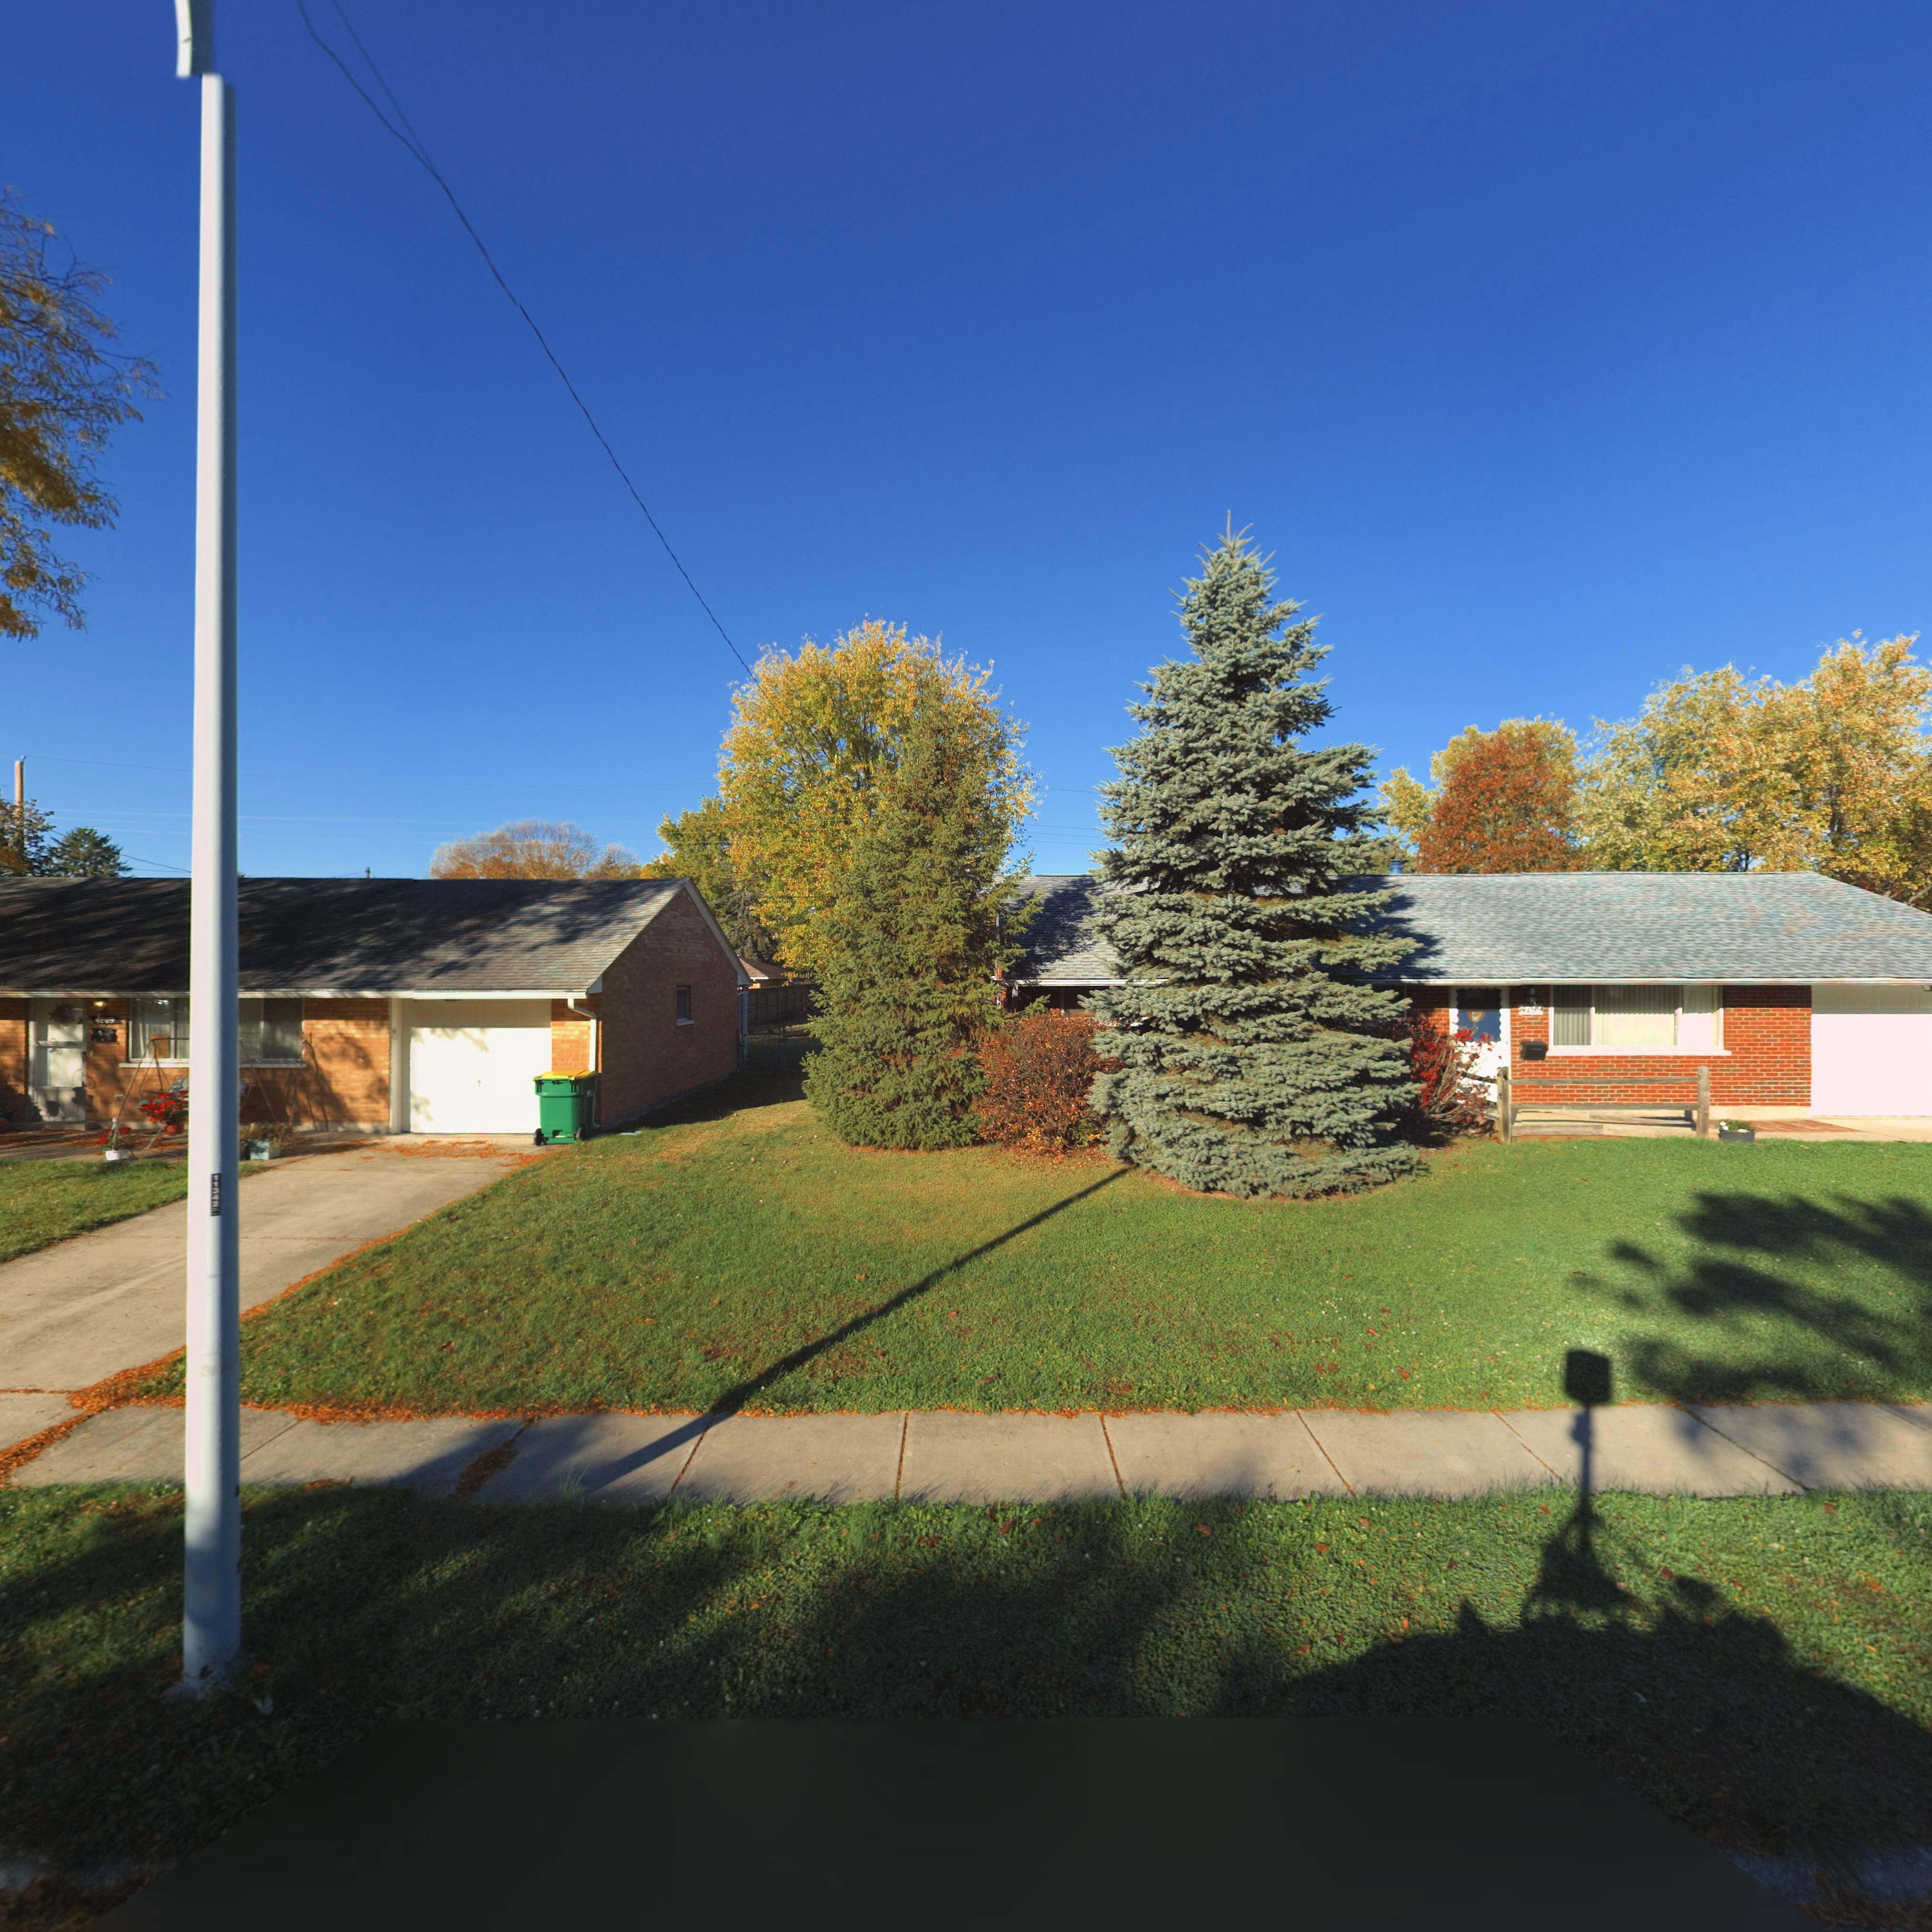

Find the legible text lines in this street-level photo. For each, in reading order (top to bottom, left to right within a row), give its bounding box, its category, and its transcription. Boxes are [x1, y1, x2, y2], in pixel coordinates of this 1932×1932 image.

[1521, 1004, 1543, 1014] StreetNumber: 4799